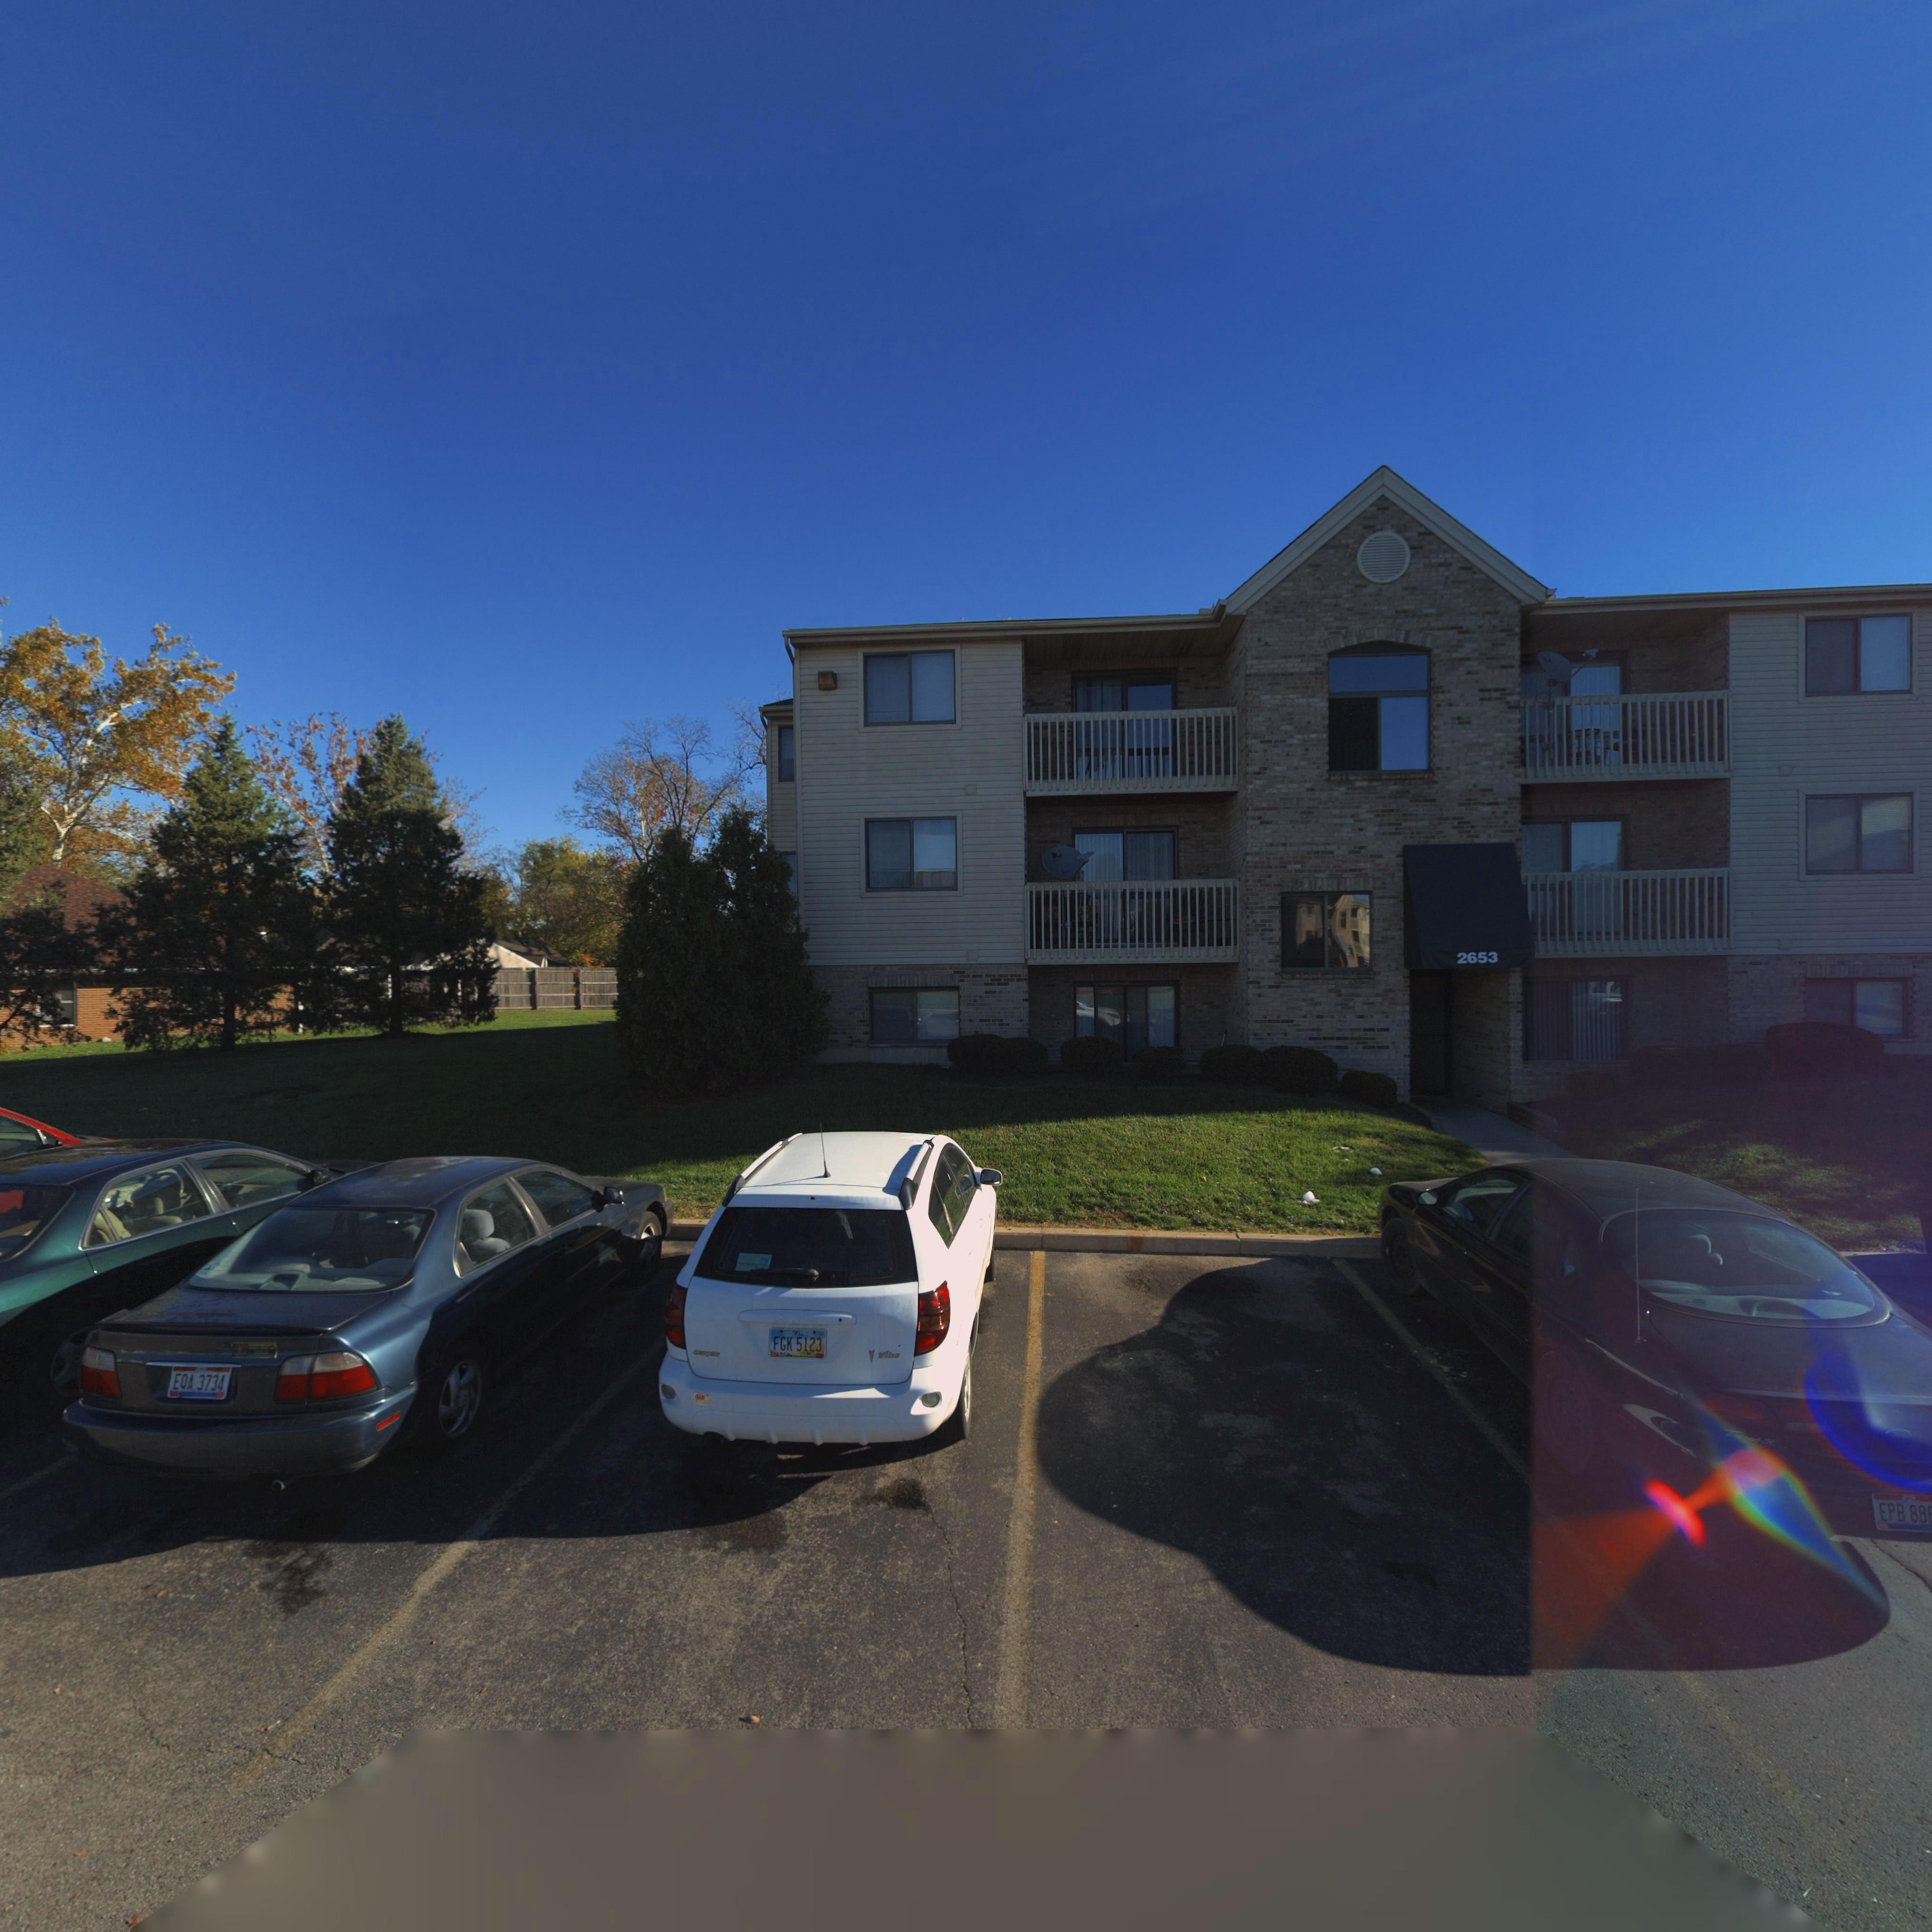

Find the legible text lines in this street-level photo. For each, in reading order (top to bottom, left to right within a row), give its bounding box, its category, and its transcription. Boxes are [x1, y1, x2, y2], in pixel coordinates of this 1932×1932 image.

[1456, 951, 1499, 964] StreetNumber: 2653